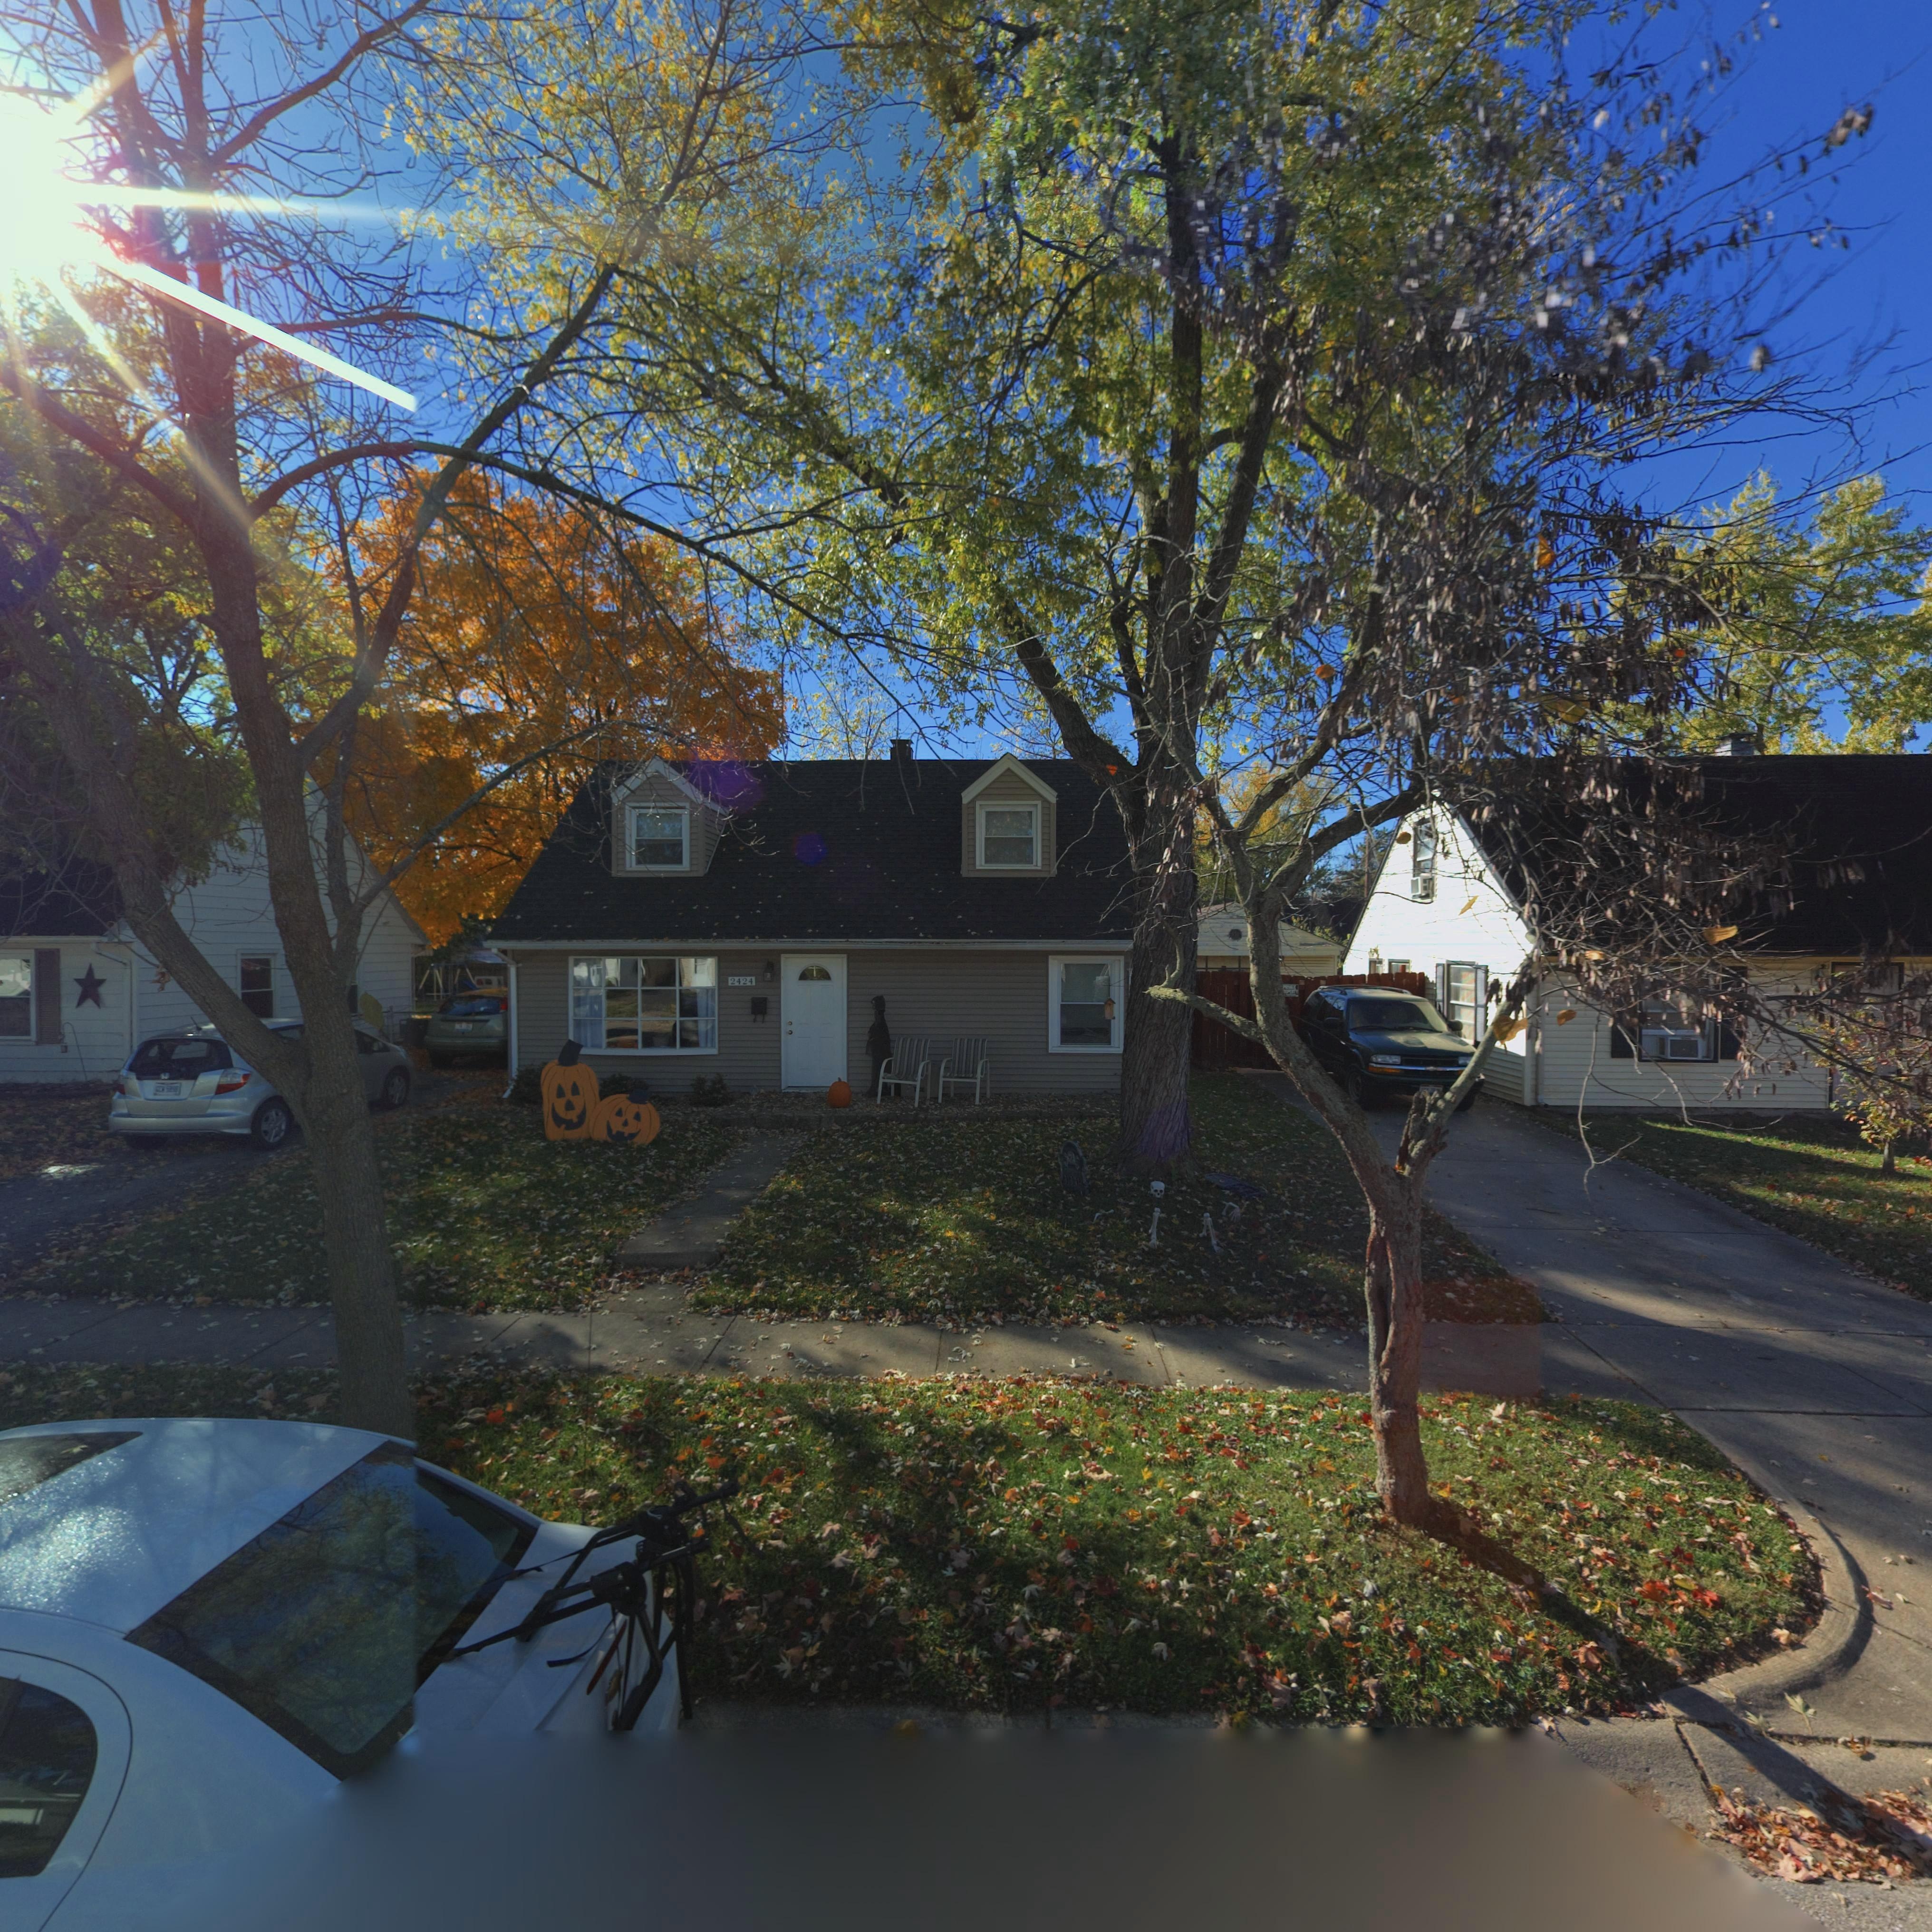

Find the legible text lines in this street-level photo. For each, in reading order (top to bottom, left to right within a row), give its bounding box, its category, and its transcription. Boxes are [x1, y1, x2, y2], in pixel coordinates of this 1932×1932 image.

[729, 977, 754, 985] StreetNumber: 2424